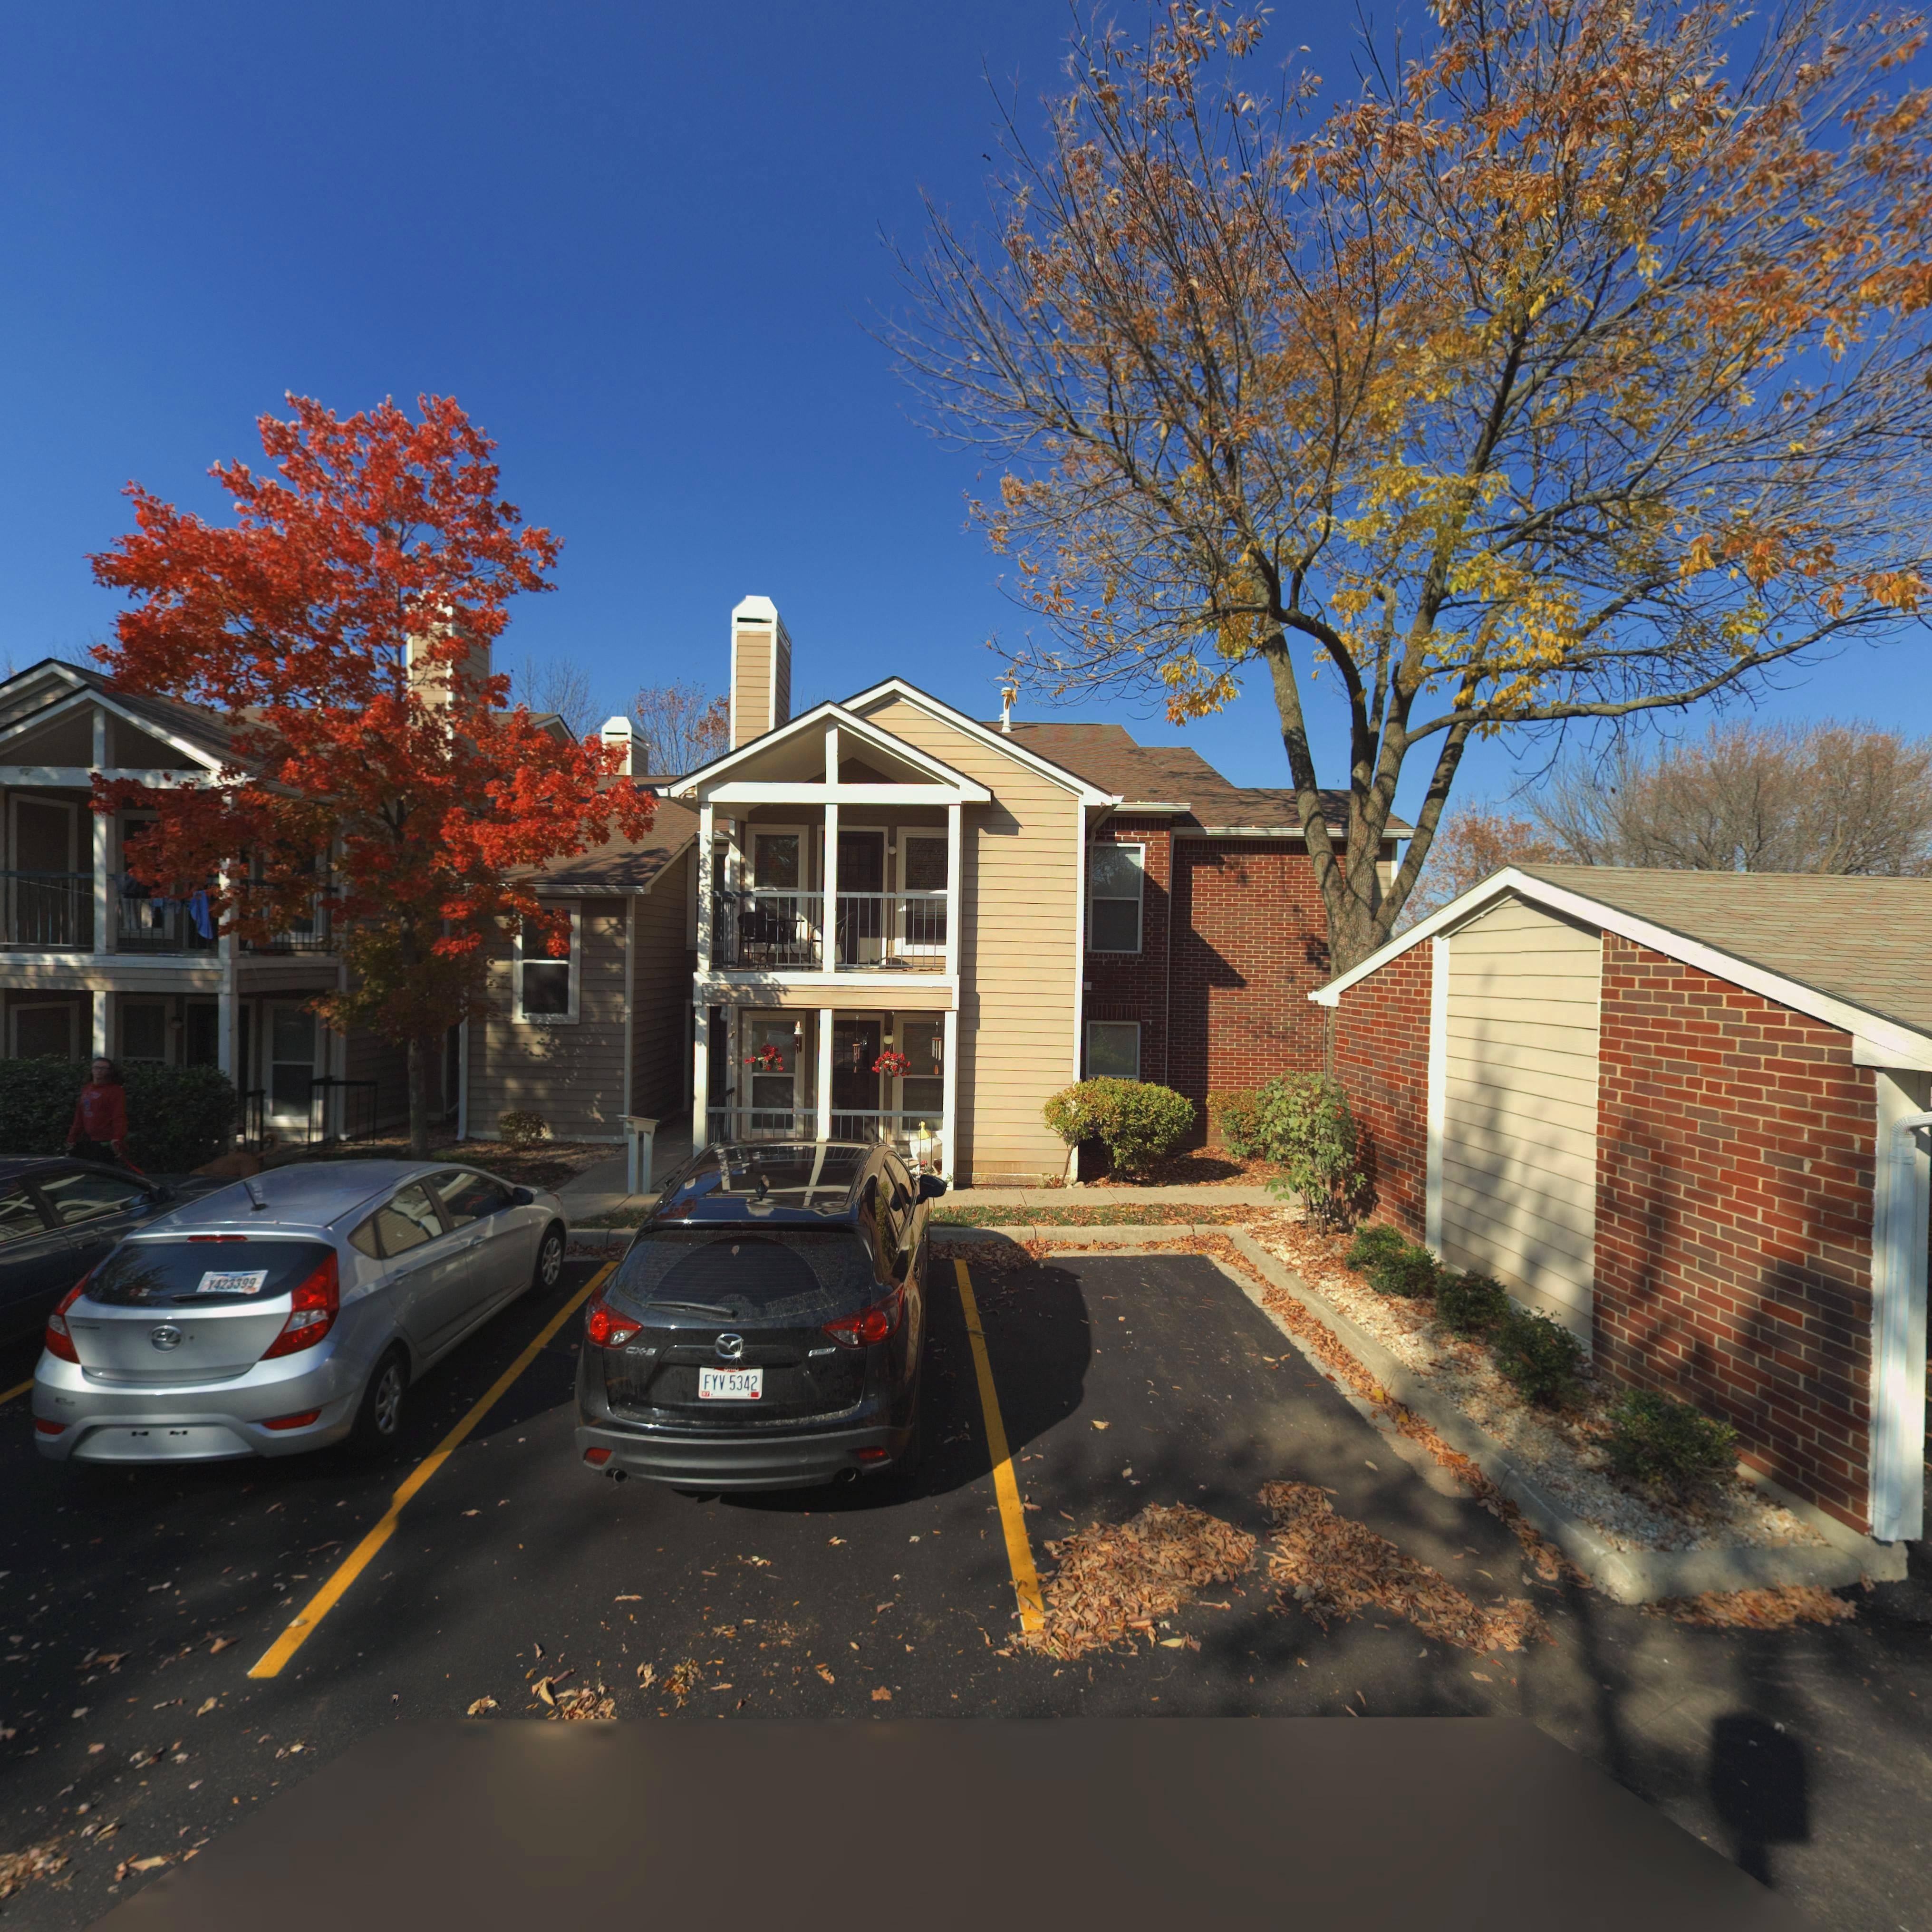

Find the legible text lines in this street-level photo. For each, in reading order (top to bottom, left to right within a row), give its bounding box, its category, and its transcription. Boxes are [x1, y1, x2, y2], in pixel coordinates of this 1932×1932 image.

[206, 1277, 258, 1291] None: Y423399
[623, 1345, 659, 1358] None: CX-5
[703, 1373, 759, 1392] None: FYV 5342
[701, 1391, 710, 1397] None: *7